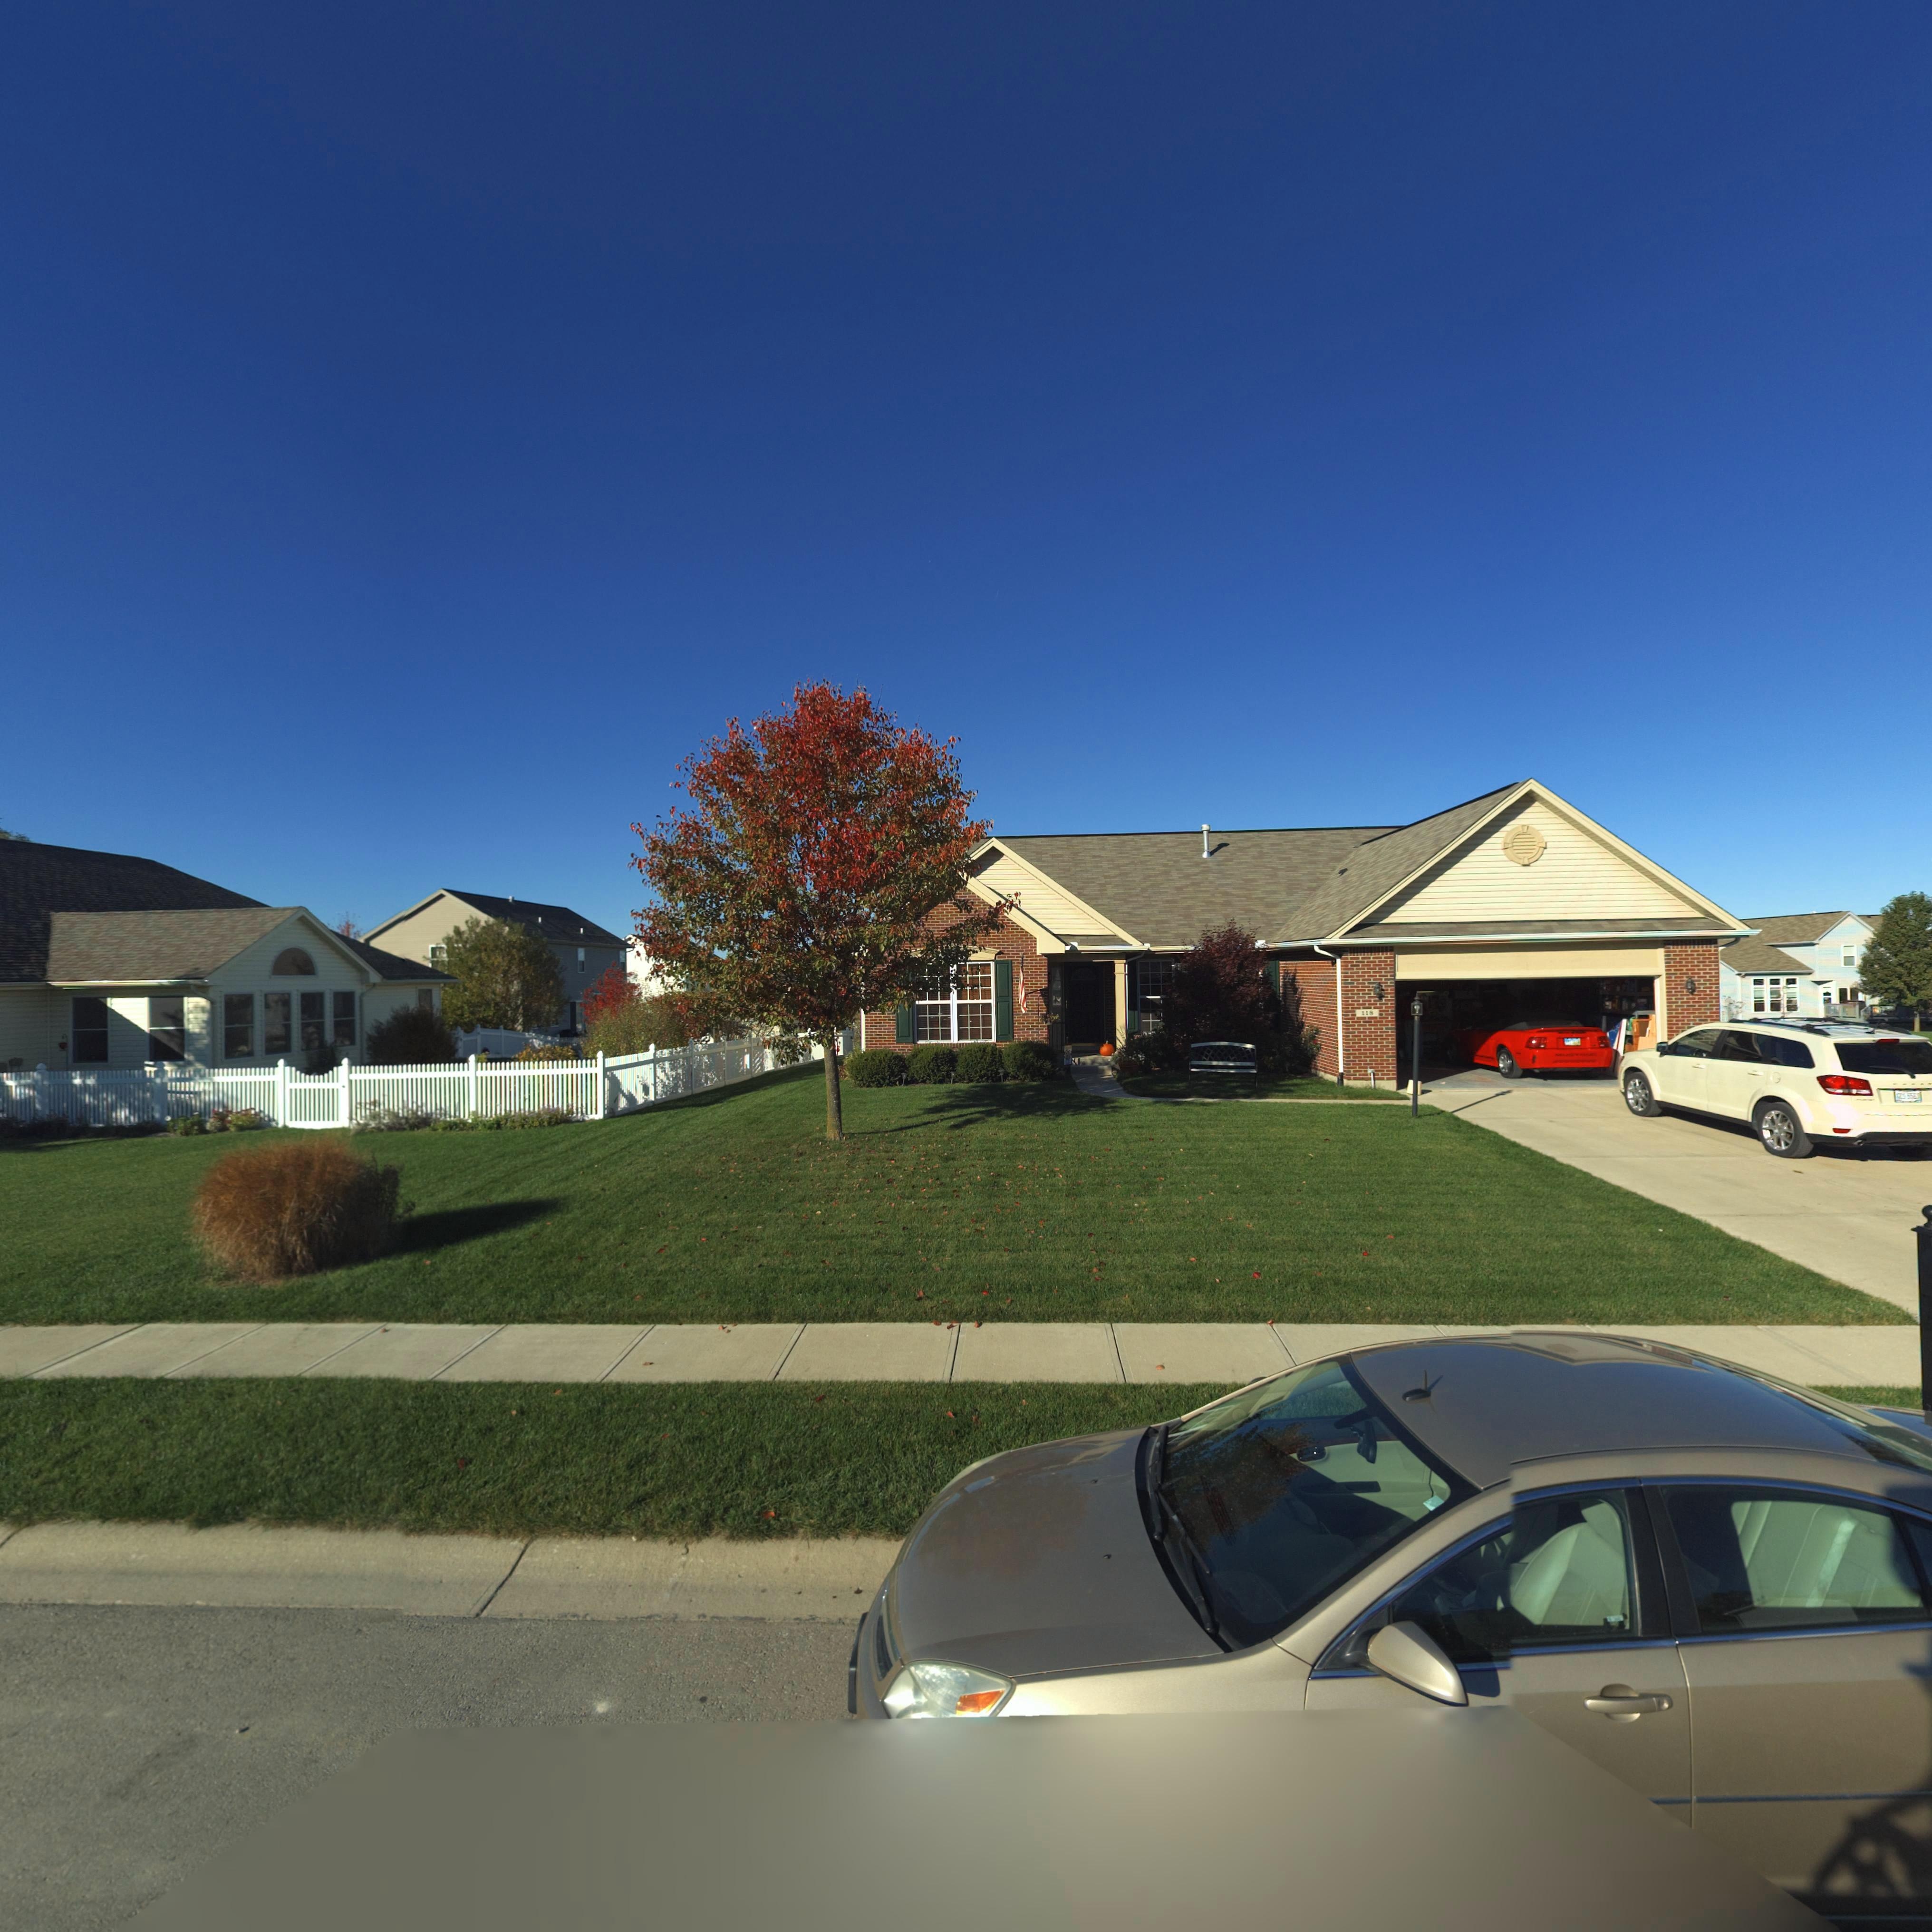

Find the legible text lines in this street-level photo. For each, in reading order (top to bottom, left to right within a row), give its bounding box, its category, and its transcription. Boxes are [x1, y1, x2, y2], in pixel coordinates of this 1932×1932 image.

[1361, 1010, 1374, 1016] StreetNumber: 118
[1896, 1092, 1920, 1101] None: *** ****\